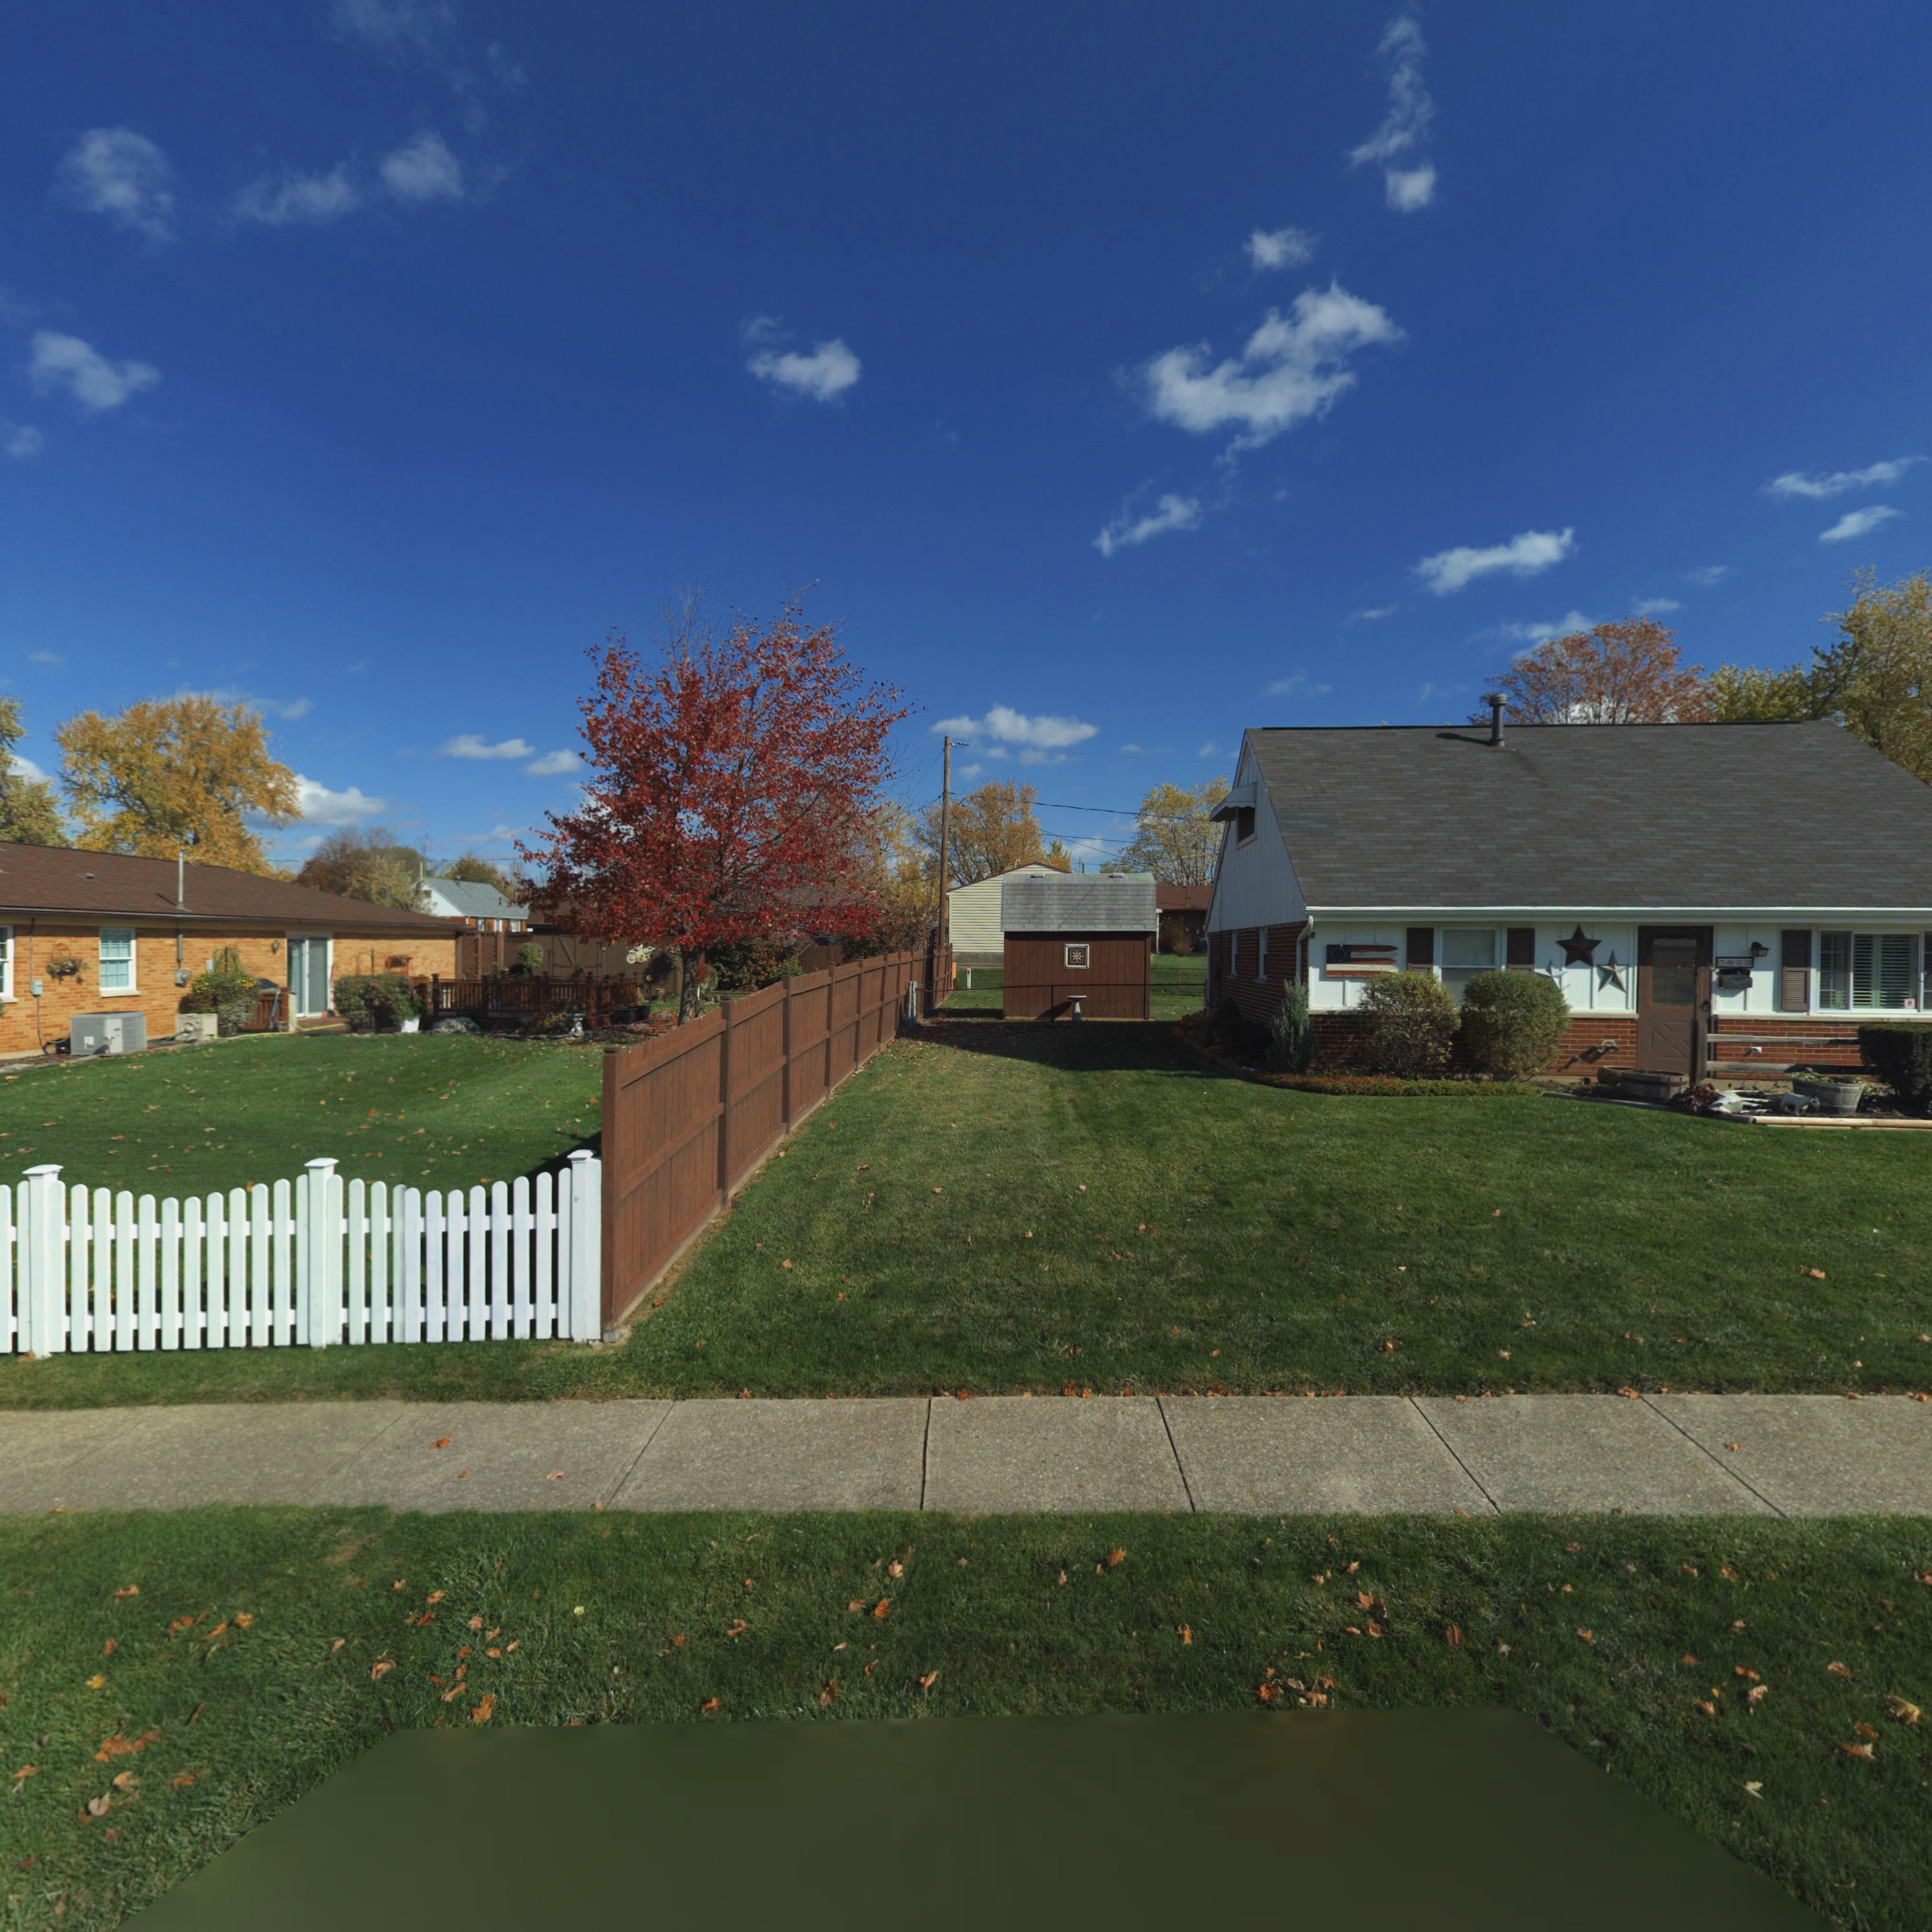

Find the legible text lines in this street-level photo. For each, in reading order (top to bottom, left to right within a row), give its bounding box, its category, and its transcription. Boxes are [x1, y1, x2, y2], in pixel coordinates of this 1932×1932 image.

[1719, 959, 1751, 966] StreetNumber: 7632